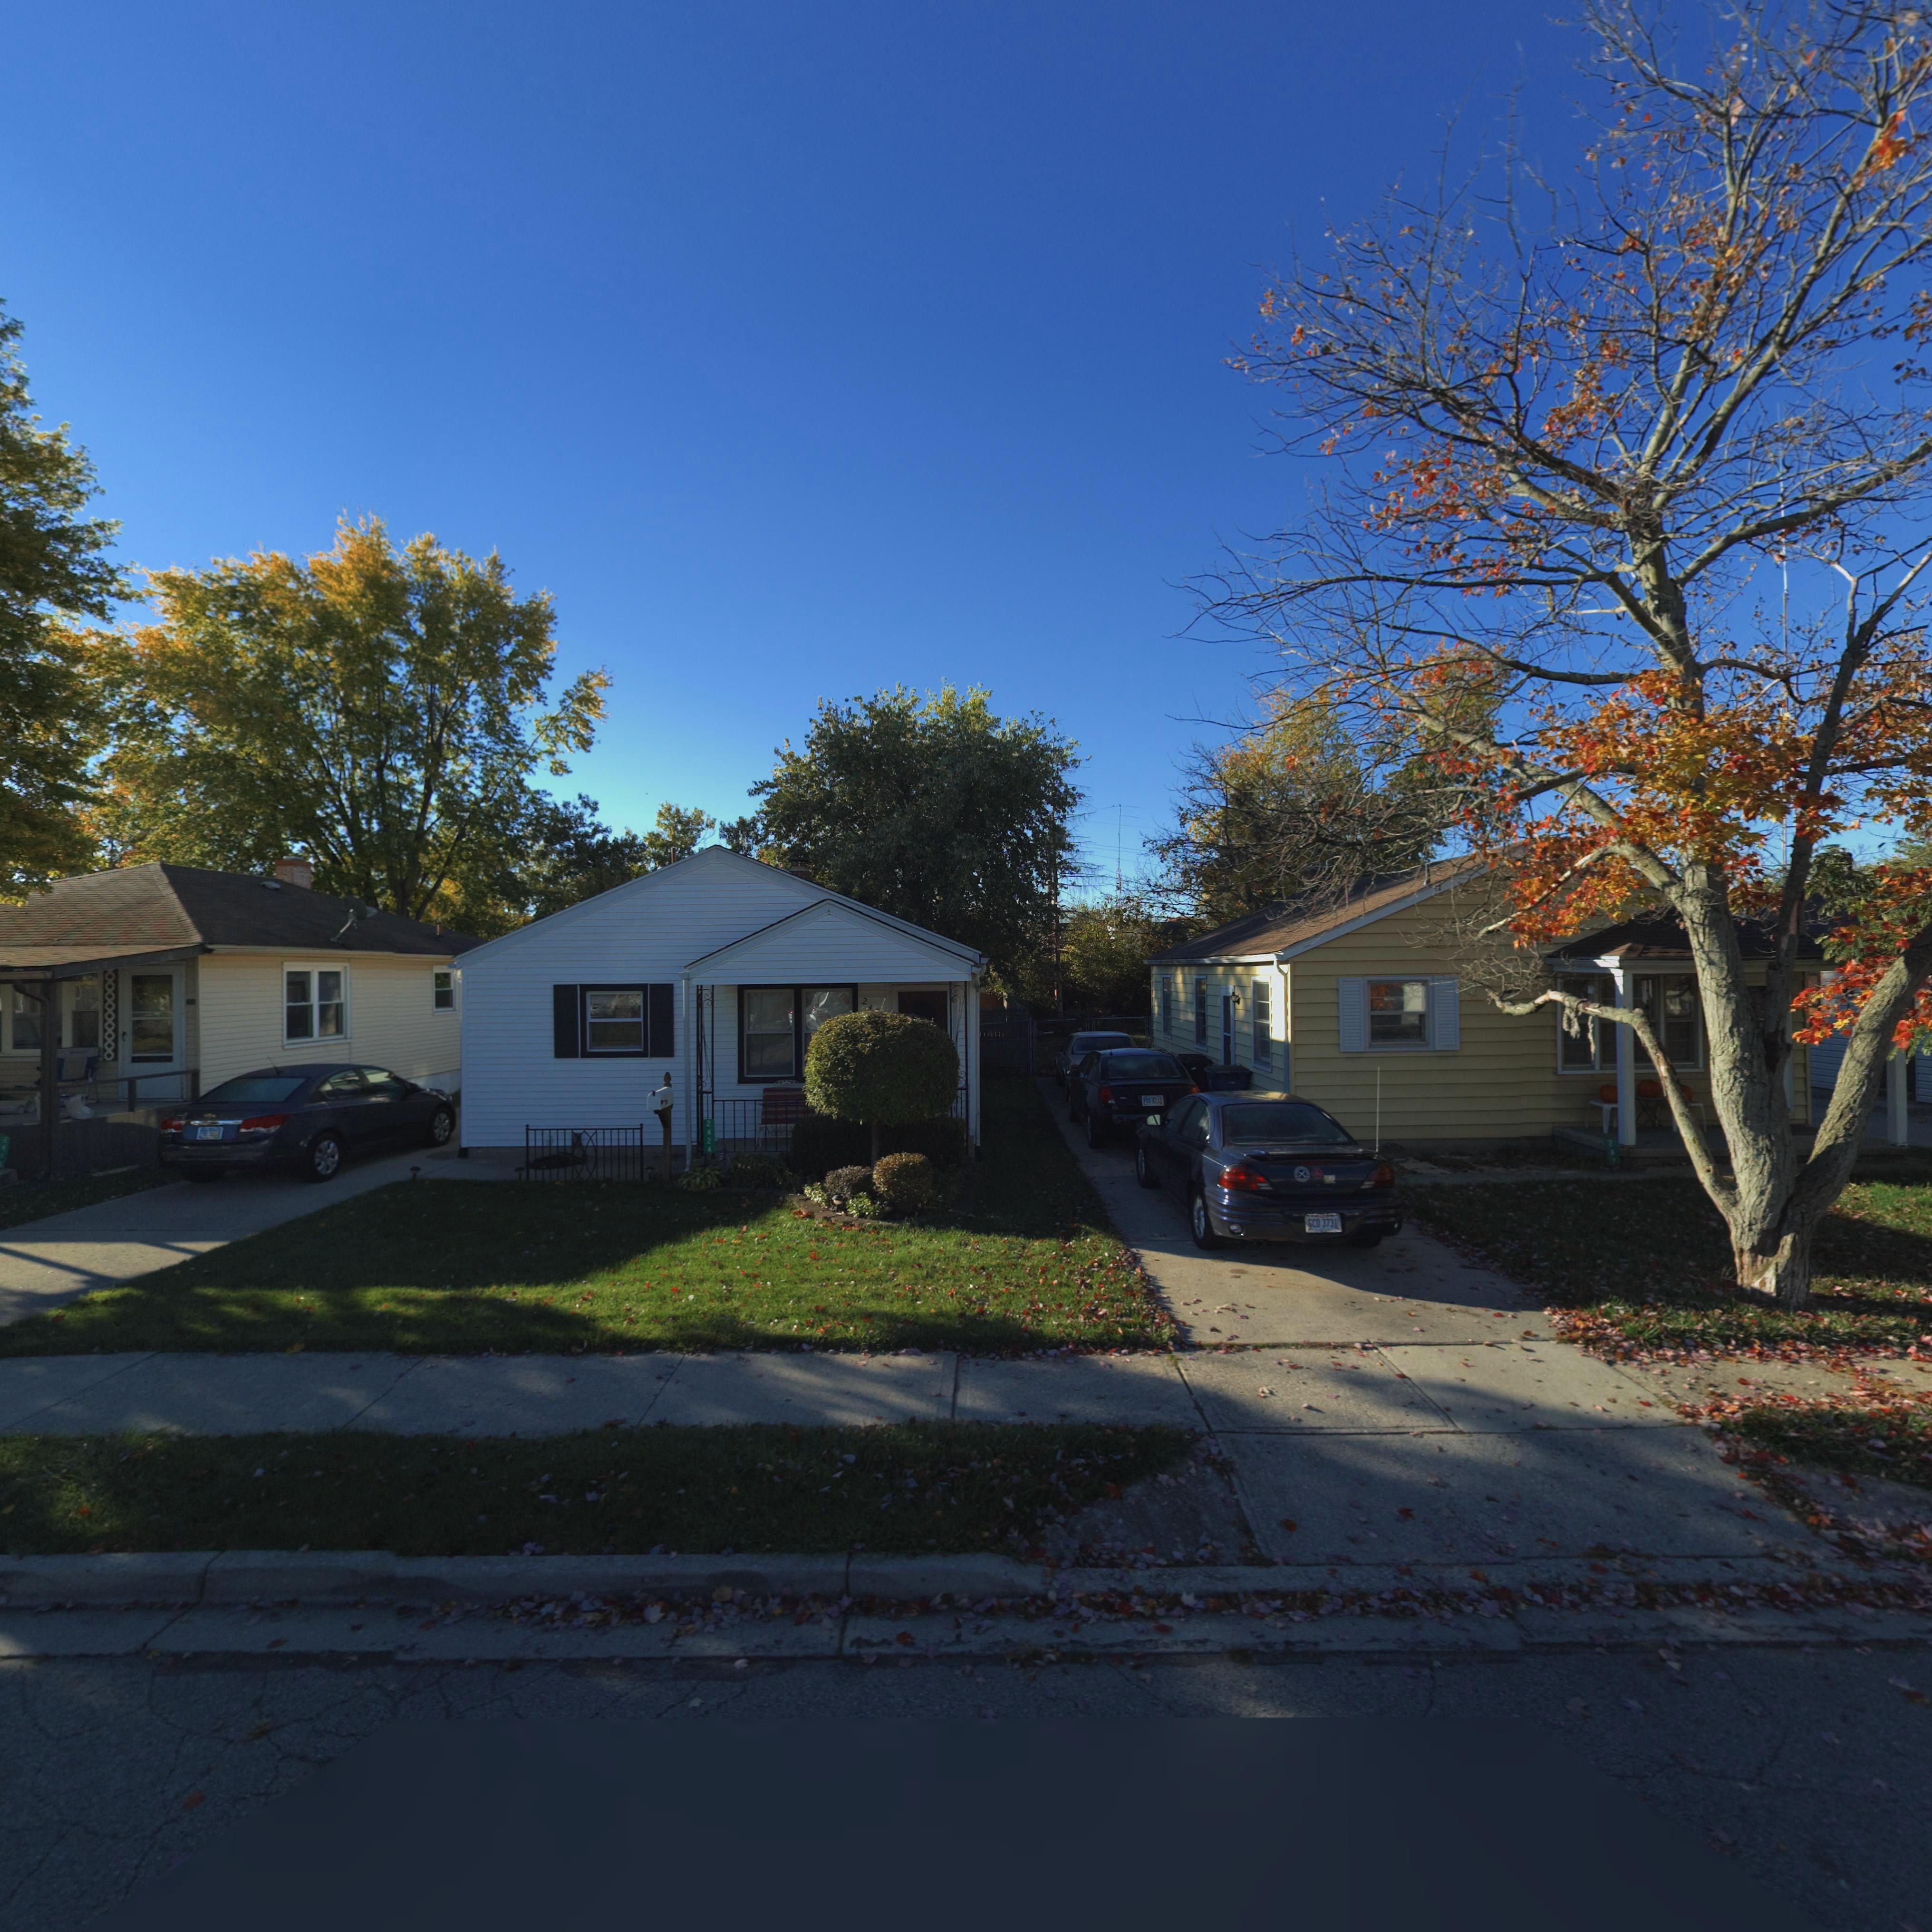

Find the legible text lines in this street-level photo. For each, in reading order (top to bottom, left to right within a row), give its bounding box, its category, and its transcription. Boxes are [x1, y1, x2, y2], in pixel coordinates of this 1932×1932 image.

[705, 1120, 712, 1153] StreetNumber: 2424